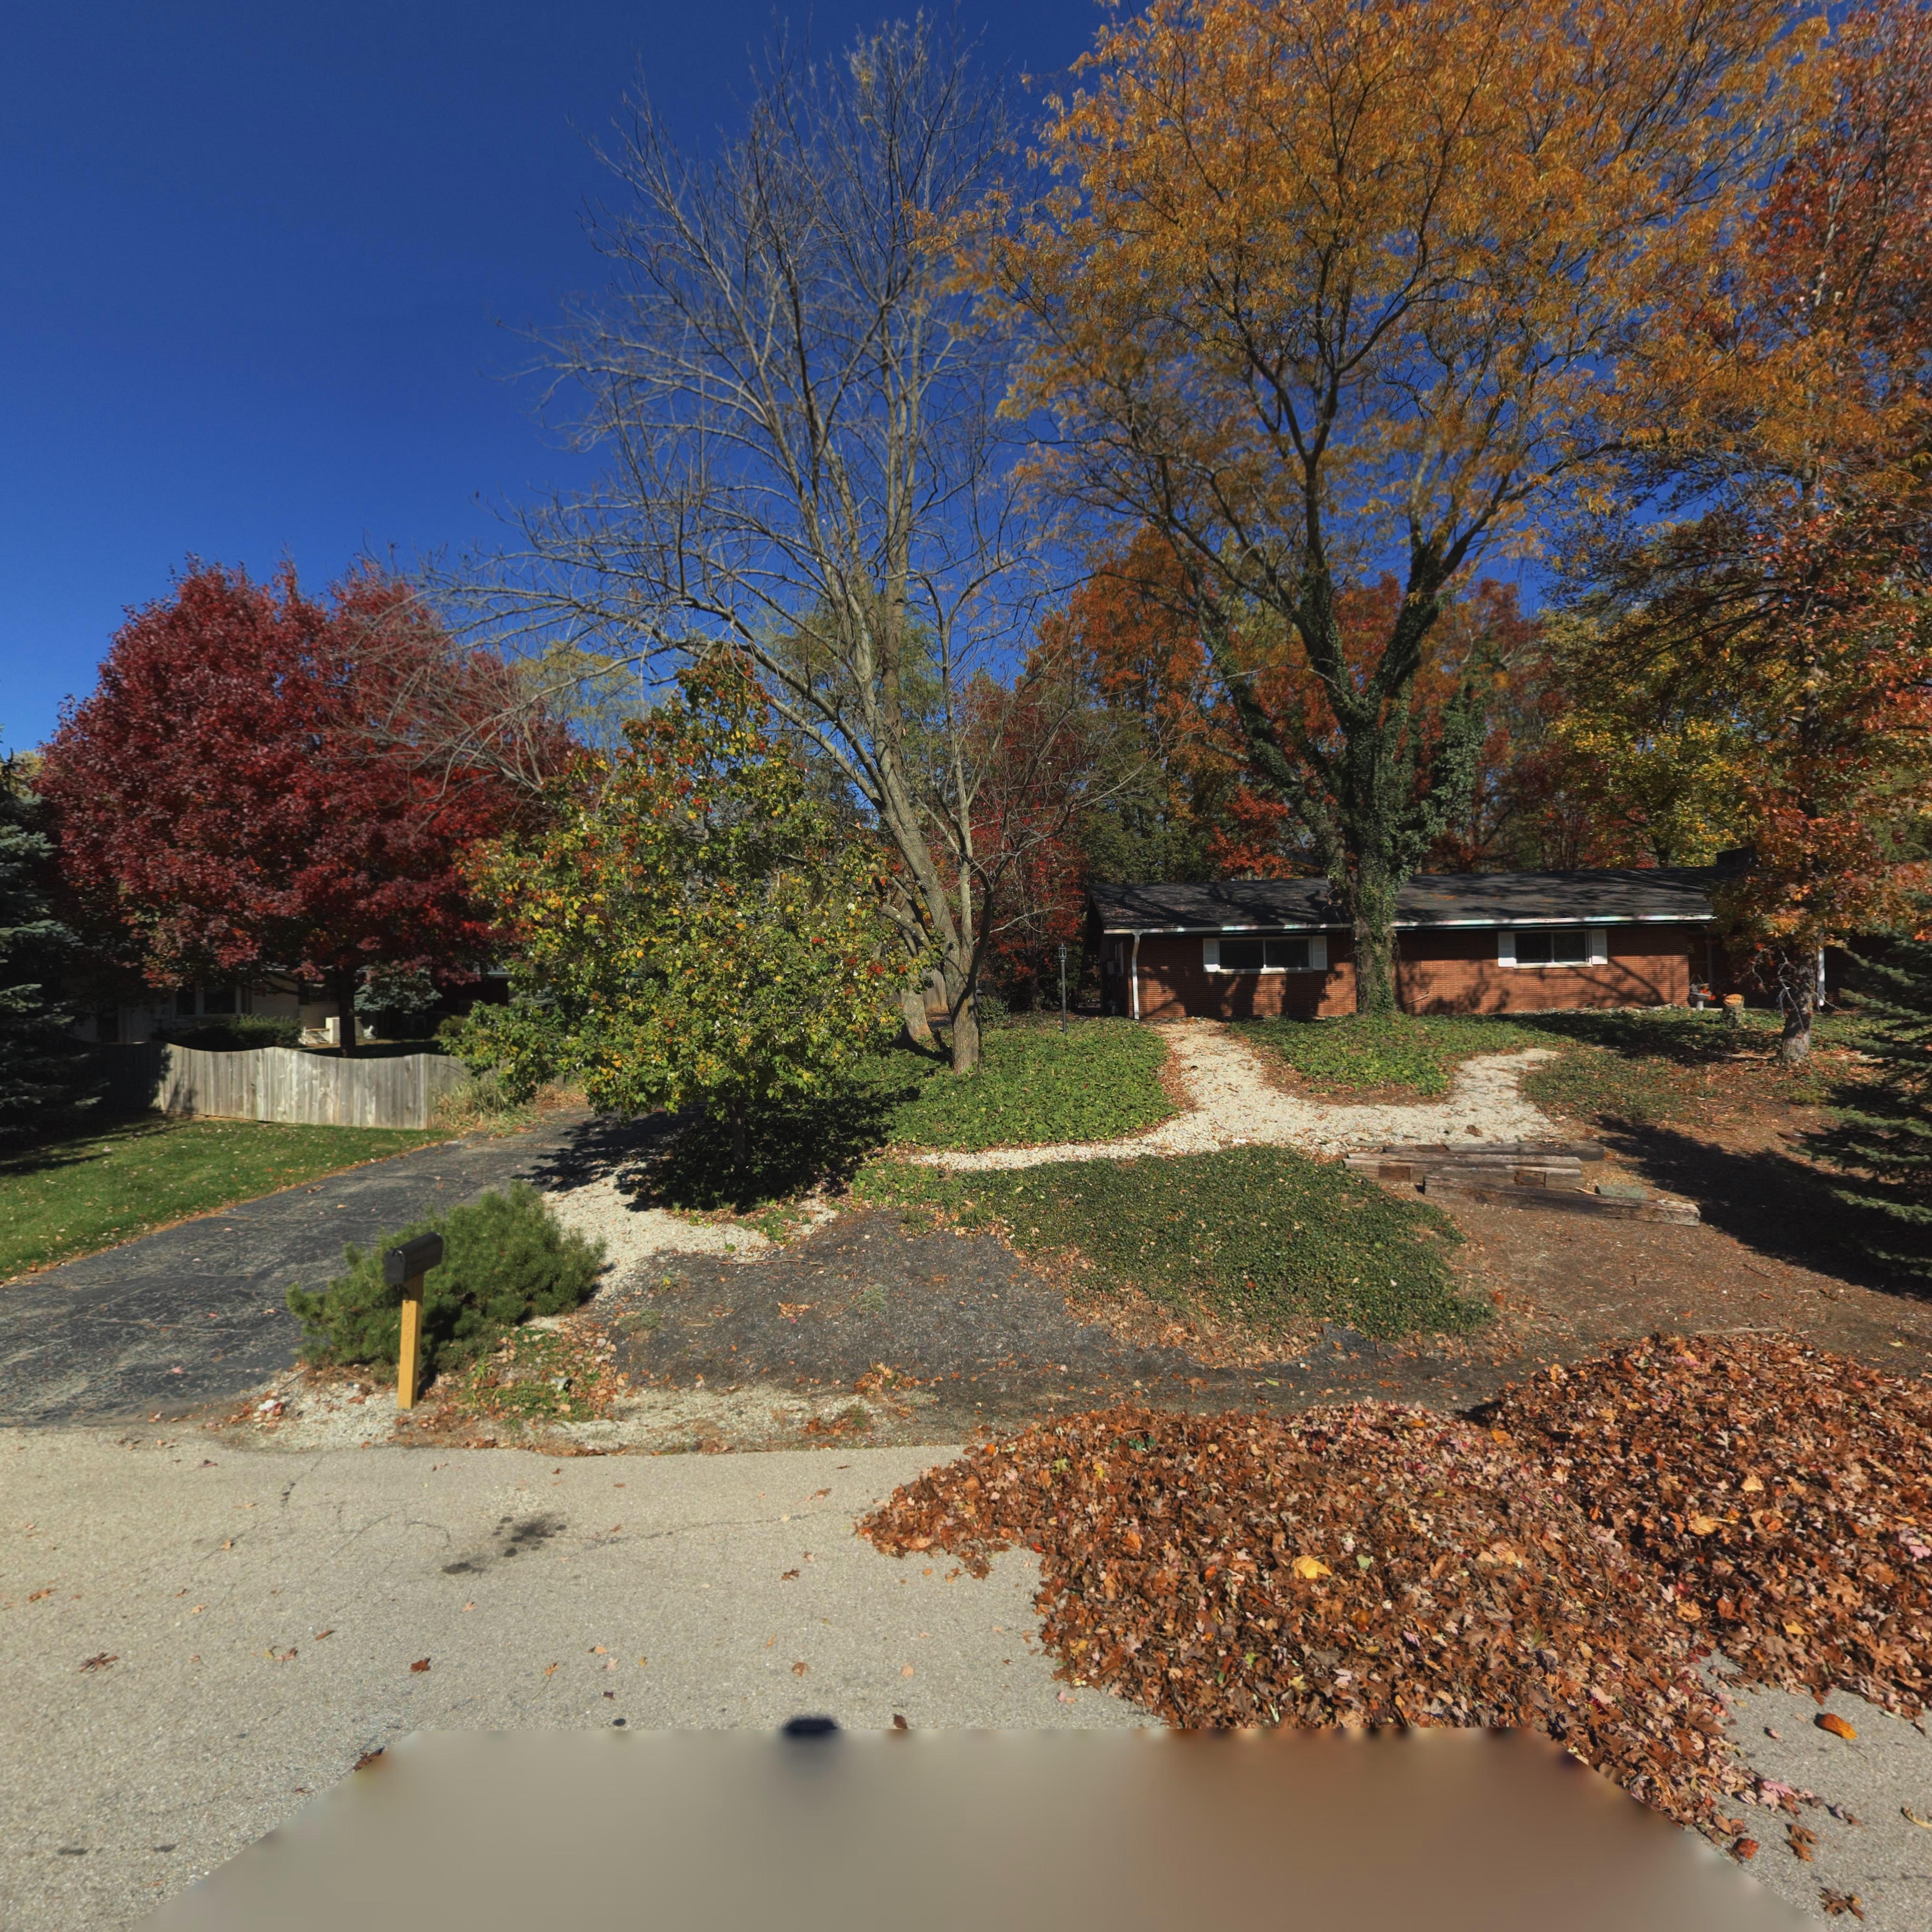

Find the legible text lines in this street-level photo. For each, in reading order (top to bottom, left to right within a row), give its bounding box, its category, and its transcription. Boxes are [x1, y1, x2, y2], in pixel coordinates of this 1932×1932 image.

[400, 1309, 415, 1358] StreetNumber: 451